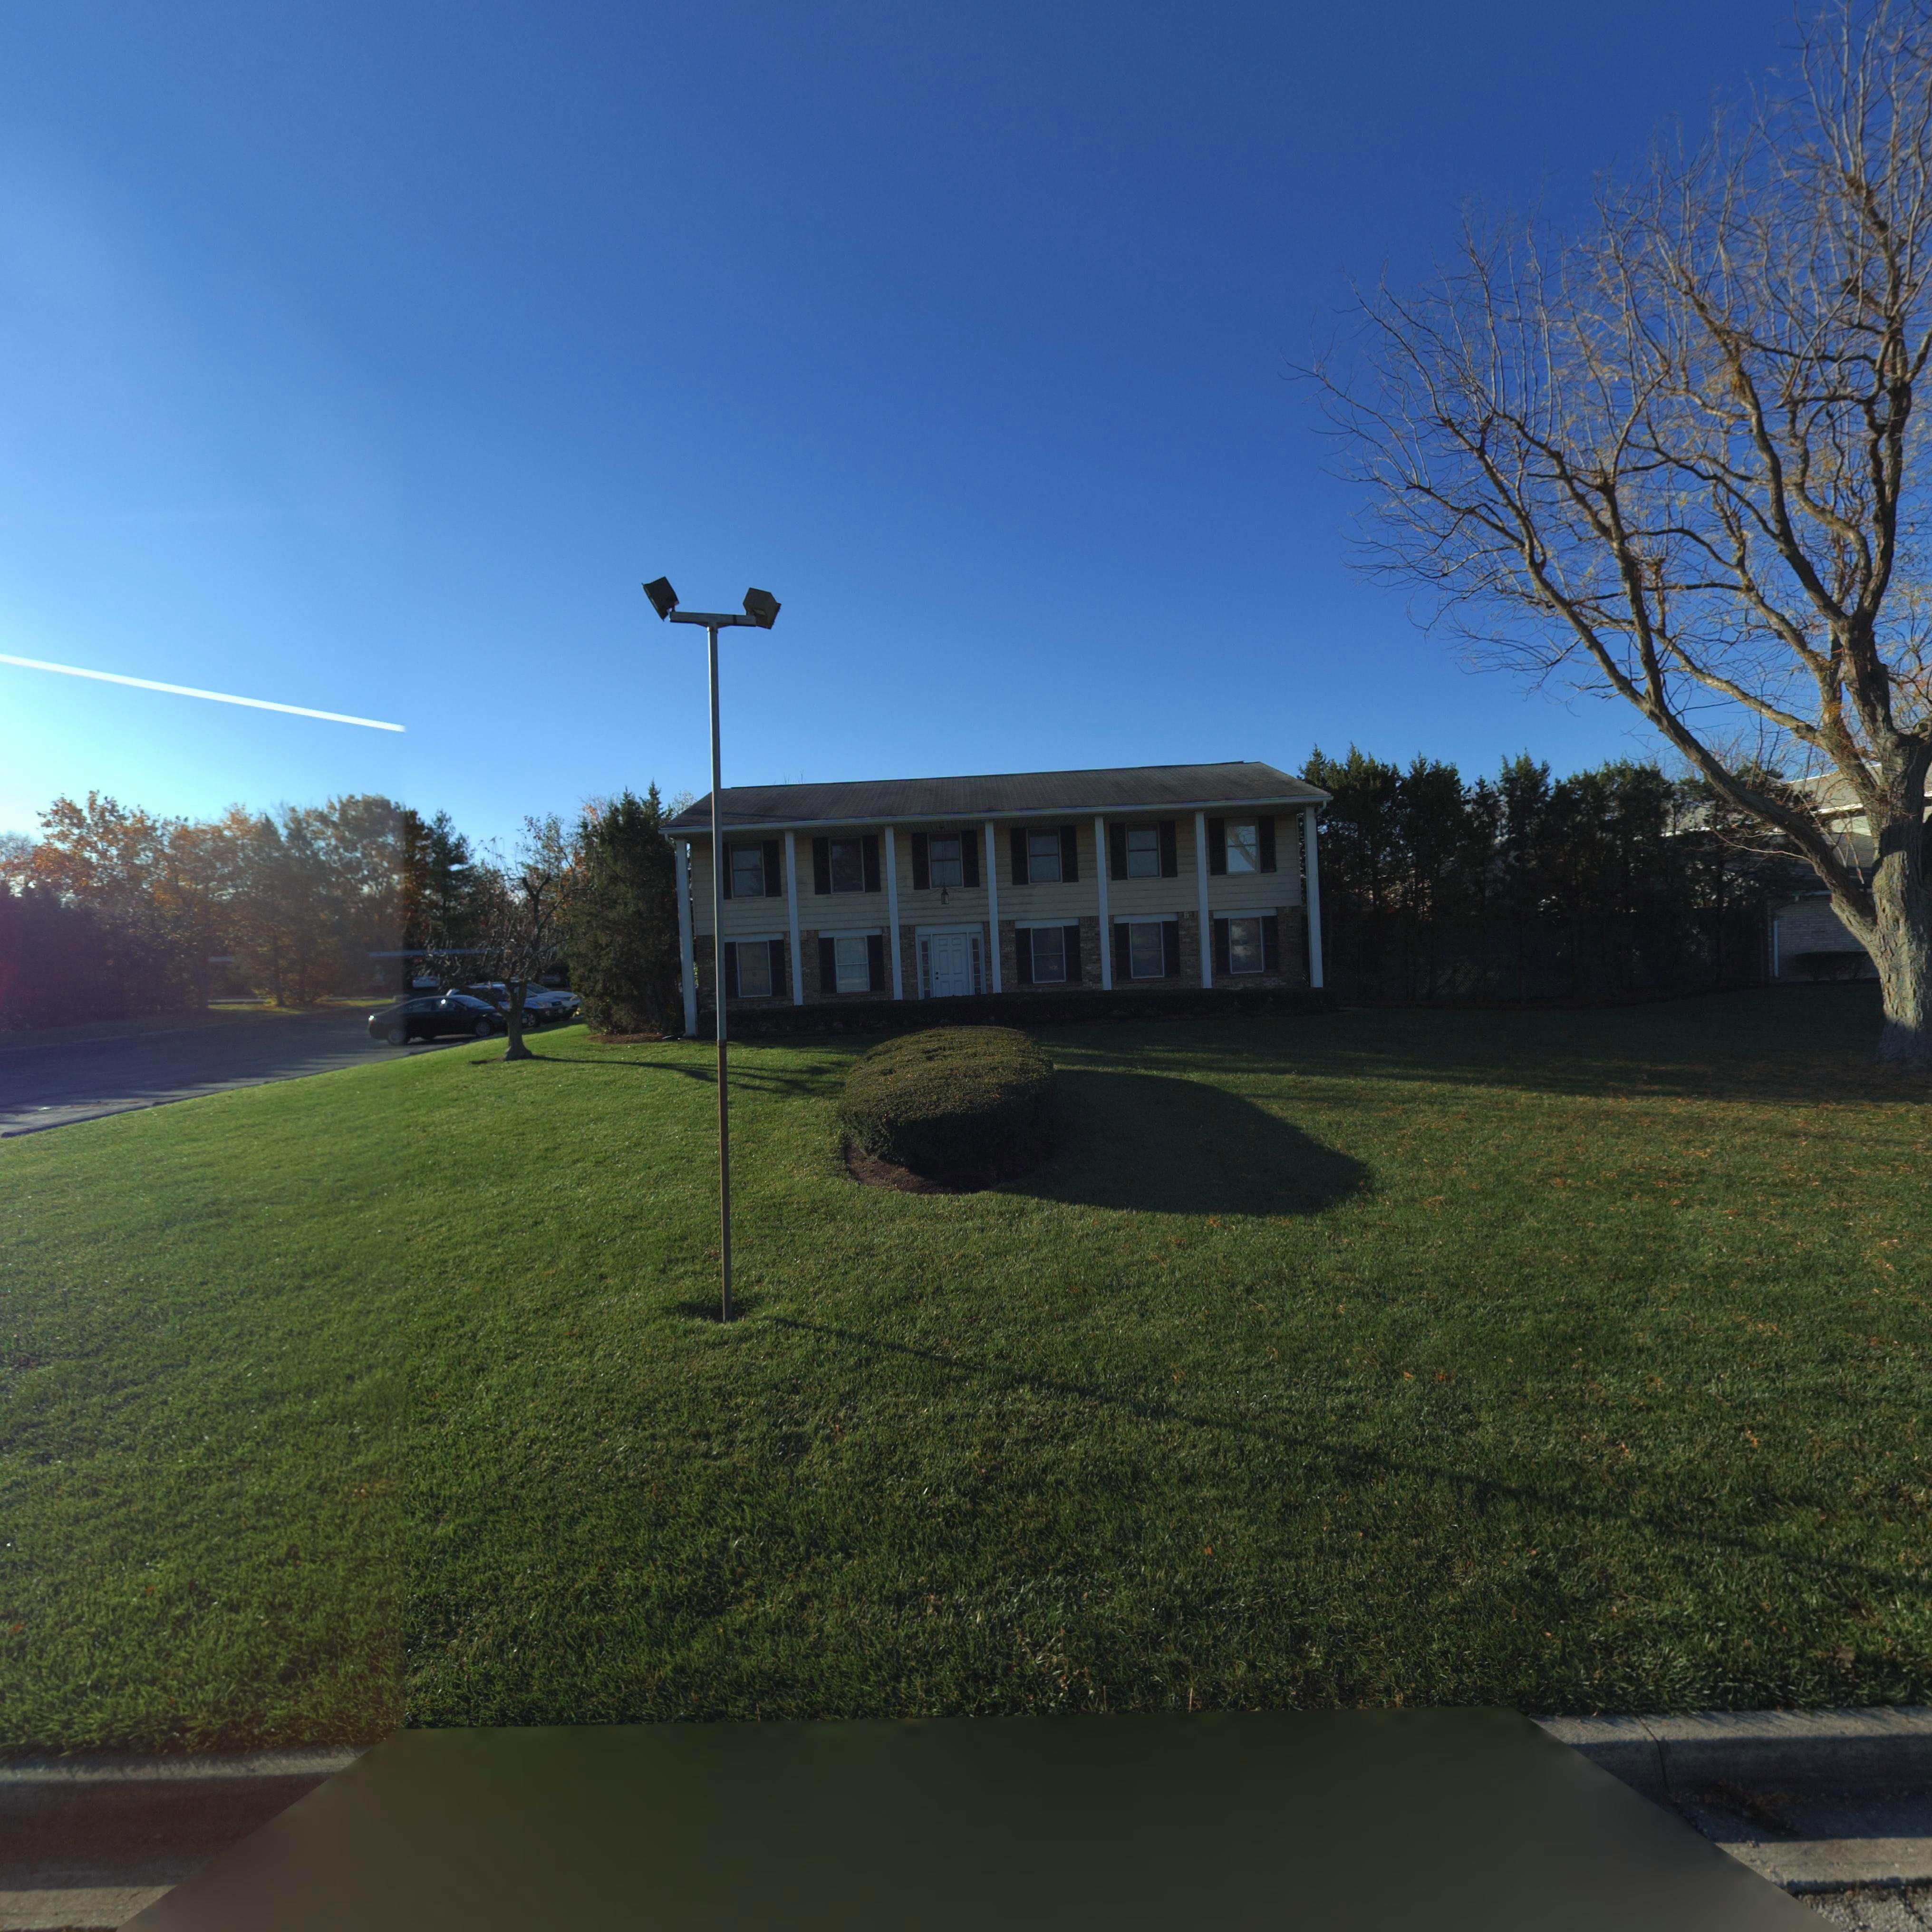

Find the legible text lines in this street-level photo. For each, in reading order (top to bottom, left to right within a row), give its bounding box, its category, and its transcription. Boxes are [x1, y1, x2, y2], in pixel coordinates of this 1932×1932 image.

[1002, 945, 1014, 953] StreetNumber: 50